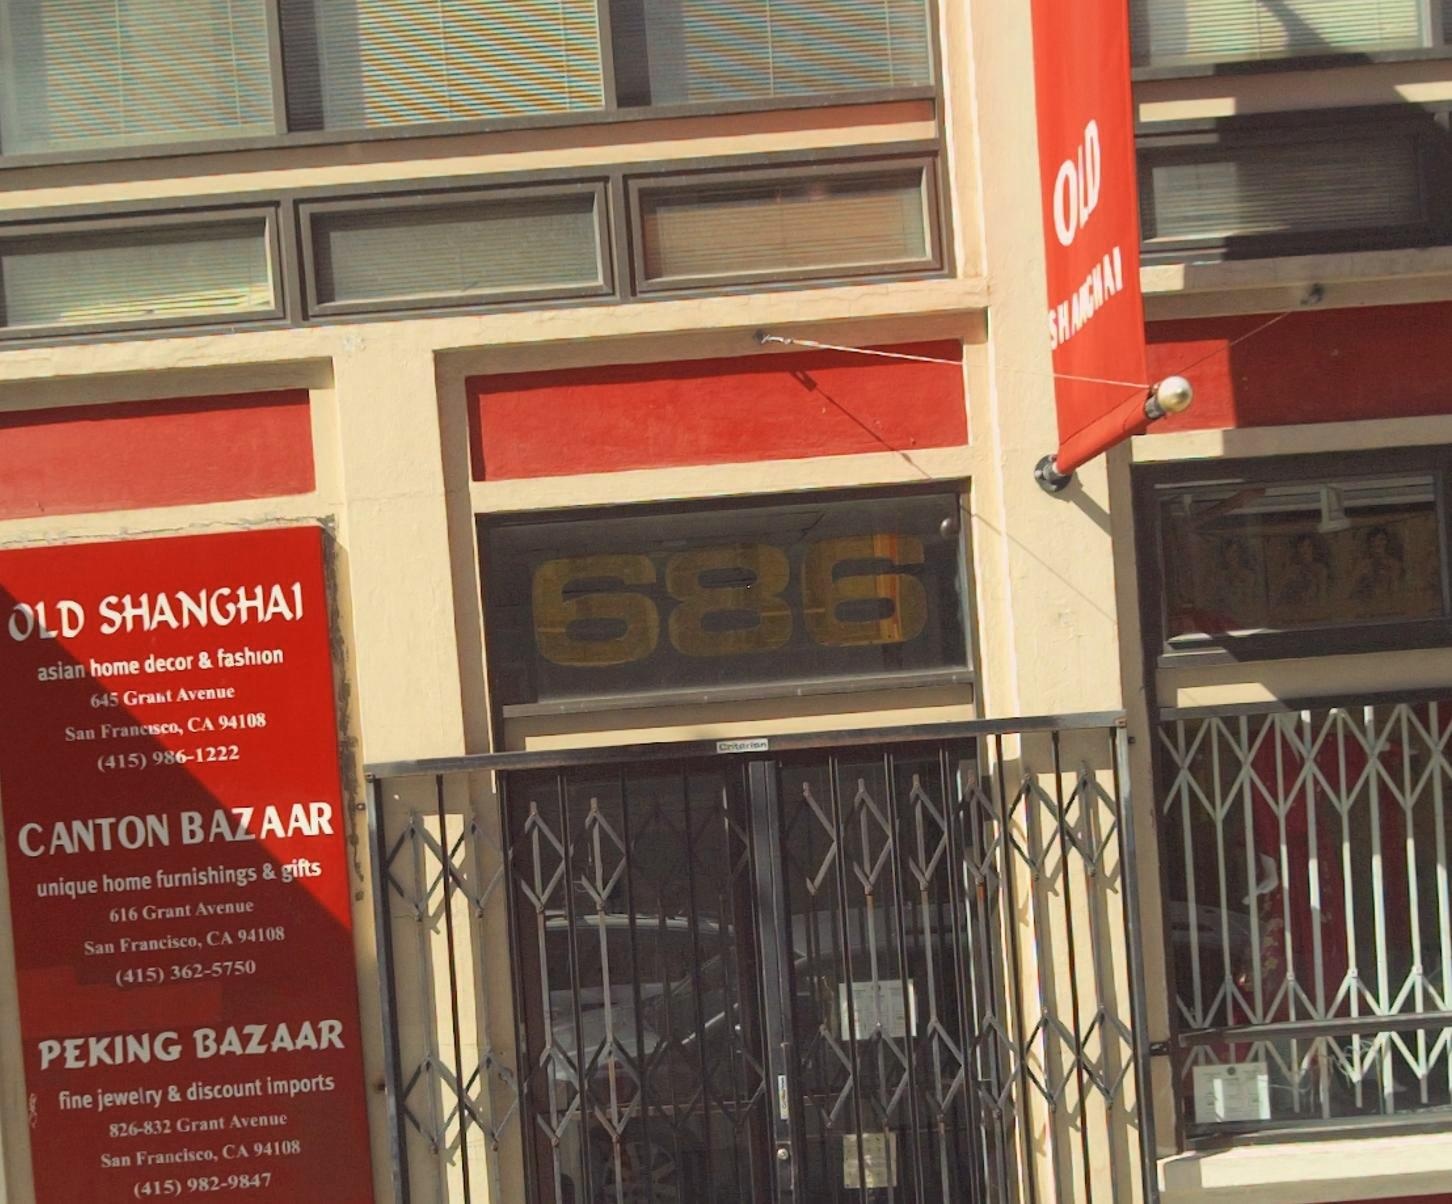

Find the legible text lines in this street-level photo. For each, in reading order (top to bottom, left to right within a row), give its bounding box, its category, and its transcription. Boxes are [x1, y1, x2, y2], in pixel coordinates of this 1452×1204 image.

[1048, 115, 1105, 255] BusinessName: OLD
[1046, 239, 1126, 354] BusinessName: SHANGHAI
[5, 577, 304, 645] BusinessName: OLD SHANGHAI
[524, 522, 934, 678] StreetNumber: 686
[33, 642, 286, 685] None: asian home decor & fashion
[88, 688, 120, 711] StreetNumber: 645
[121, 685, 238, 708] StreetName: Grant Avenue
[61, 709, 268, 744] None: San Francisco, CA 94108
[95, 742, 240, 774] None: (415)986-1222
[15, 799, 336, 860] BusinessName: CANTON BAZAAR
[35, 857, 323, 900] None: unique home furnishings & gifts
[107, 903, 139, 926] StreetNumber: 616
[140, 897, 256, 922] StreetName: Grant Avenue
[82, 923, 286, 957] None: San Francisco, CA 94108
[113, 956, 257, 989] None: (415)362-5750
[35, 1018, 347, 1073] BusinessName: PEKING BAZAAR
[57, 1072, 335, 1114] None: fine jewelry & discount imports
[108, 1119, 138, 1139] StreetNumber: 826
[142, 1116, 172, 1136] StreetNumber: 832
[175, 1108, 289, 1135] StreetName: Grant Avenue
[99, 1137, 301, 1169] None: San Francisco, CA 94108
[132, 1170, 274, 1200] None: (415)982-9847